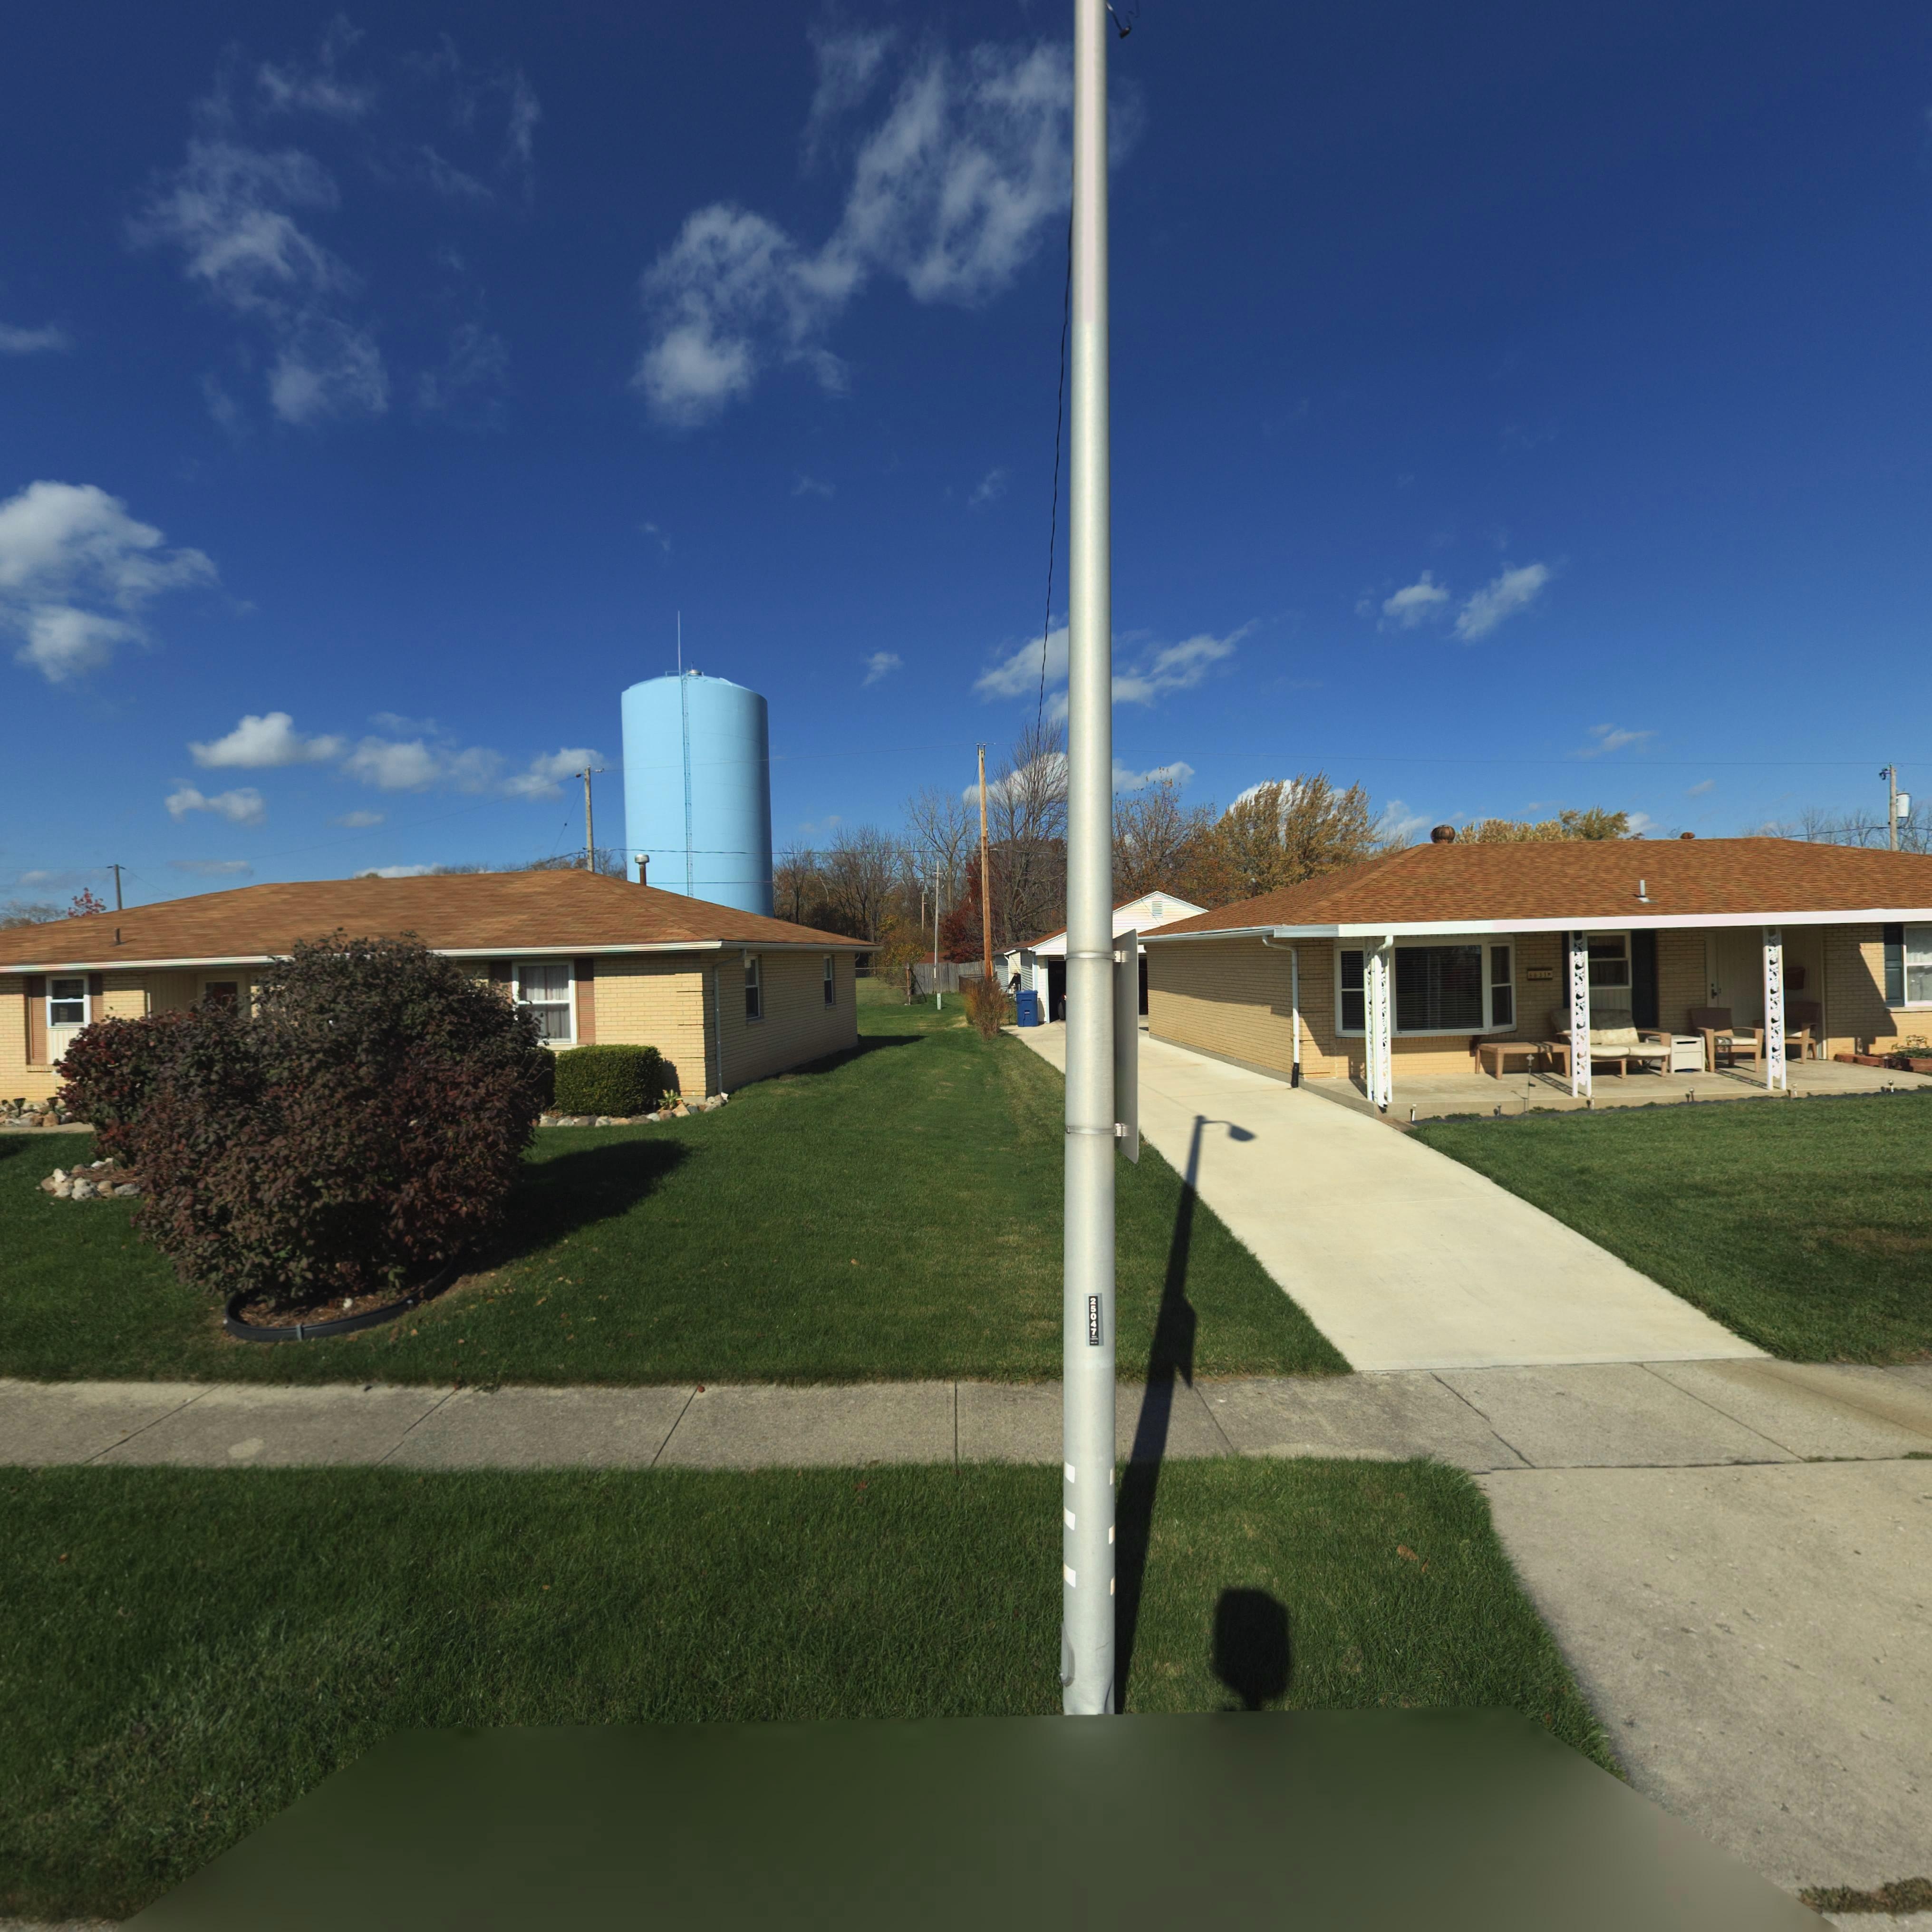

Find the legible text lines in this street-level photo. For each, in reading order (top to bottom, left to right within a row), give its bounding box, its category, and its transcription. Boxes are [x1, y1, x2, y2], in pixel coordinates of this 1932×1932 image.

[1528, 971, 1546, 978] StreetNumber: 6631